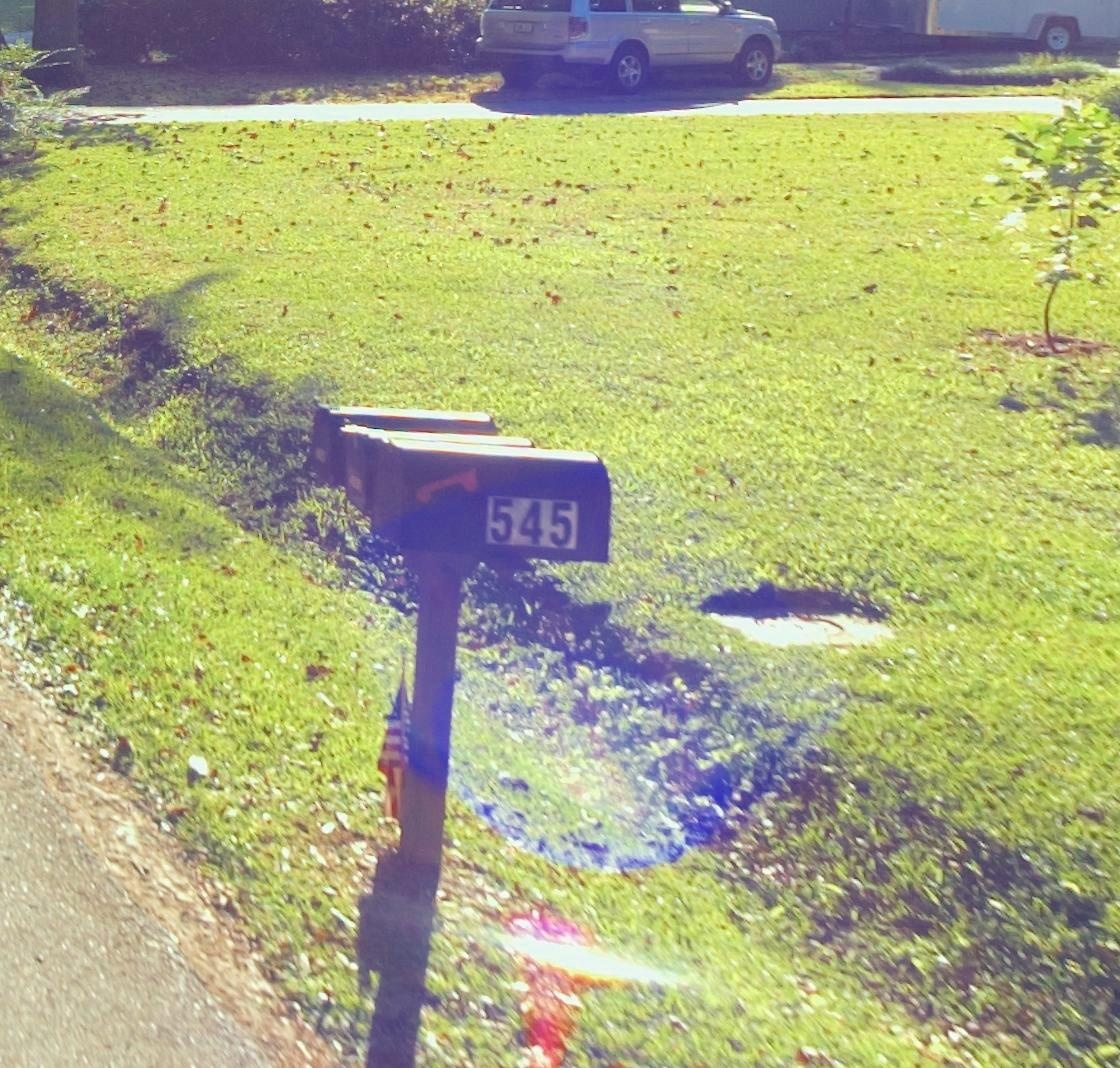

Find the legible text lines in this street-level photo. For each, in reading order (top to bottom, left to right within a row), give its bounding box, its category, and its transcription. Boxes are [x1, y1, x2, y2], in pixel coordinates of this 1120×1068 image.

[486, 494, 578, 551] StreetNumber: 545